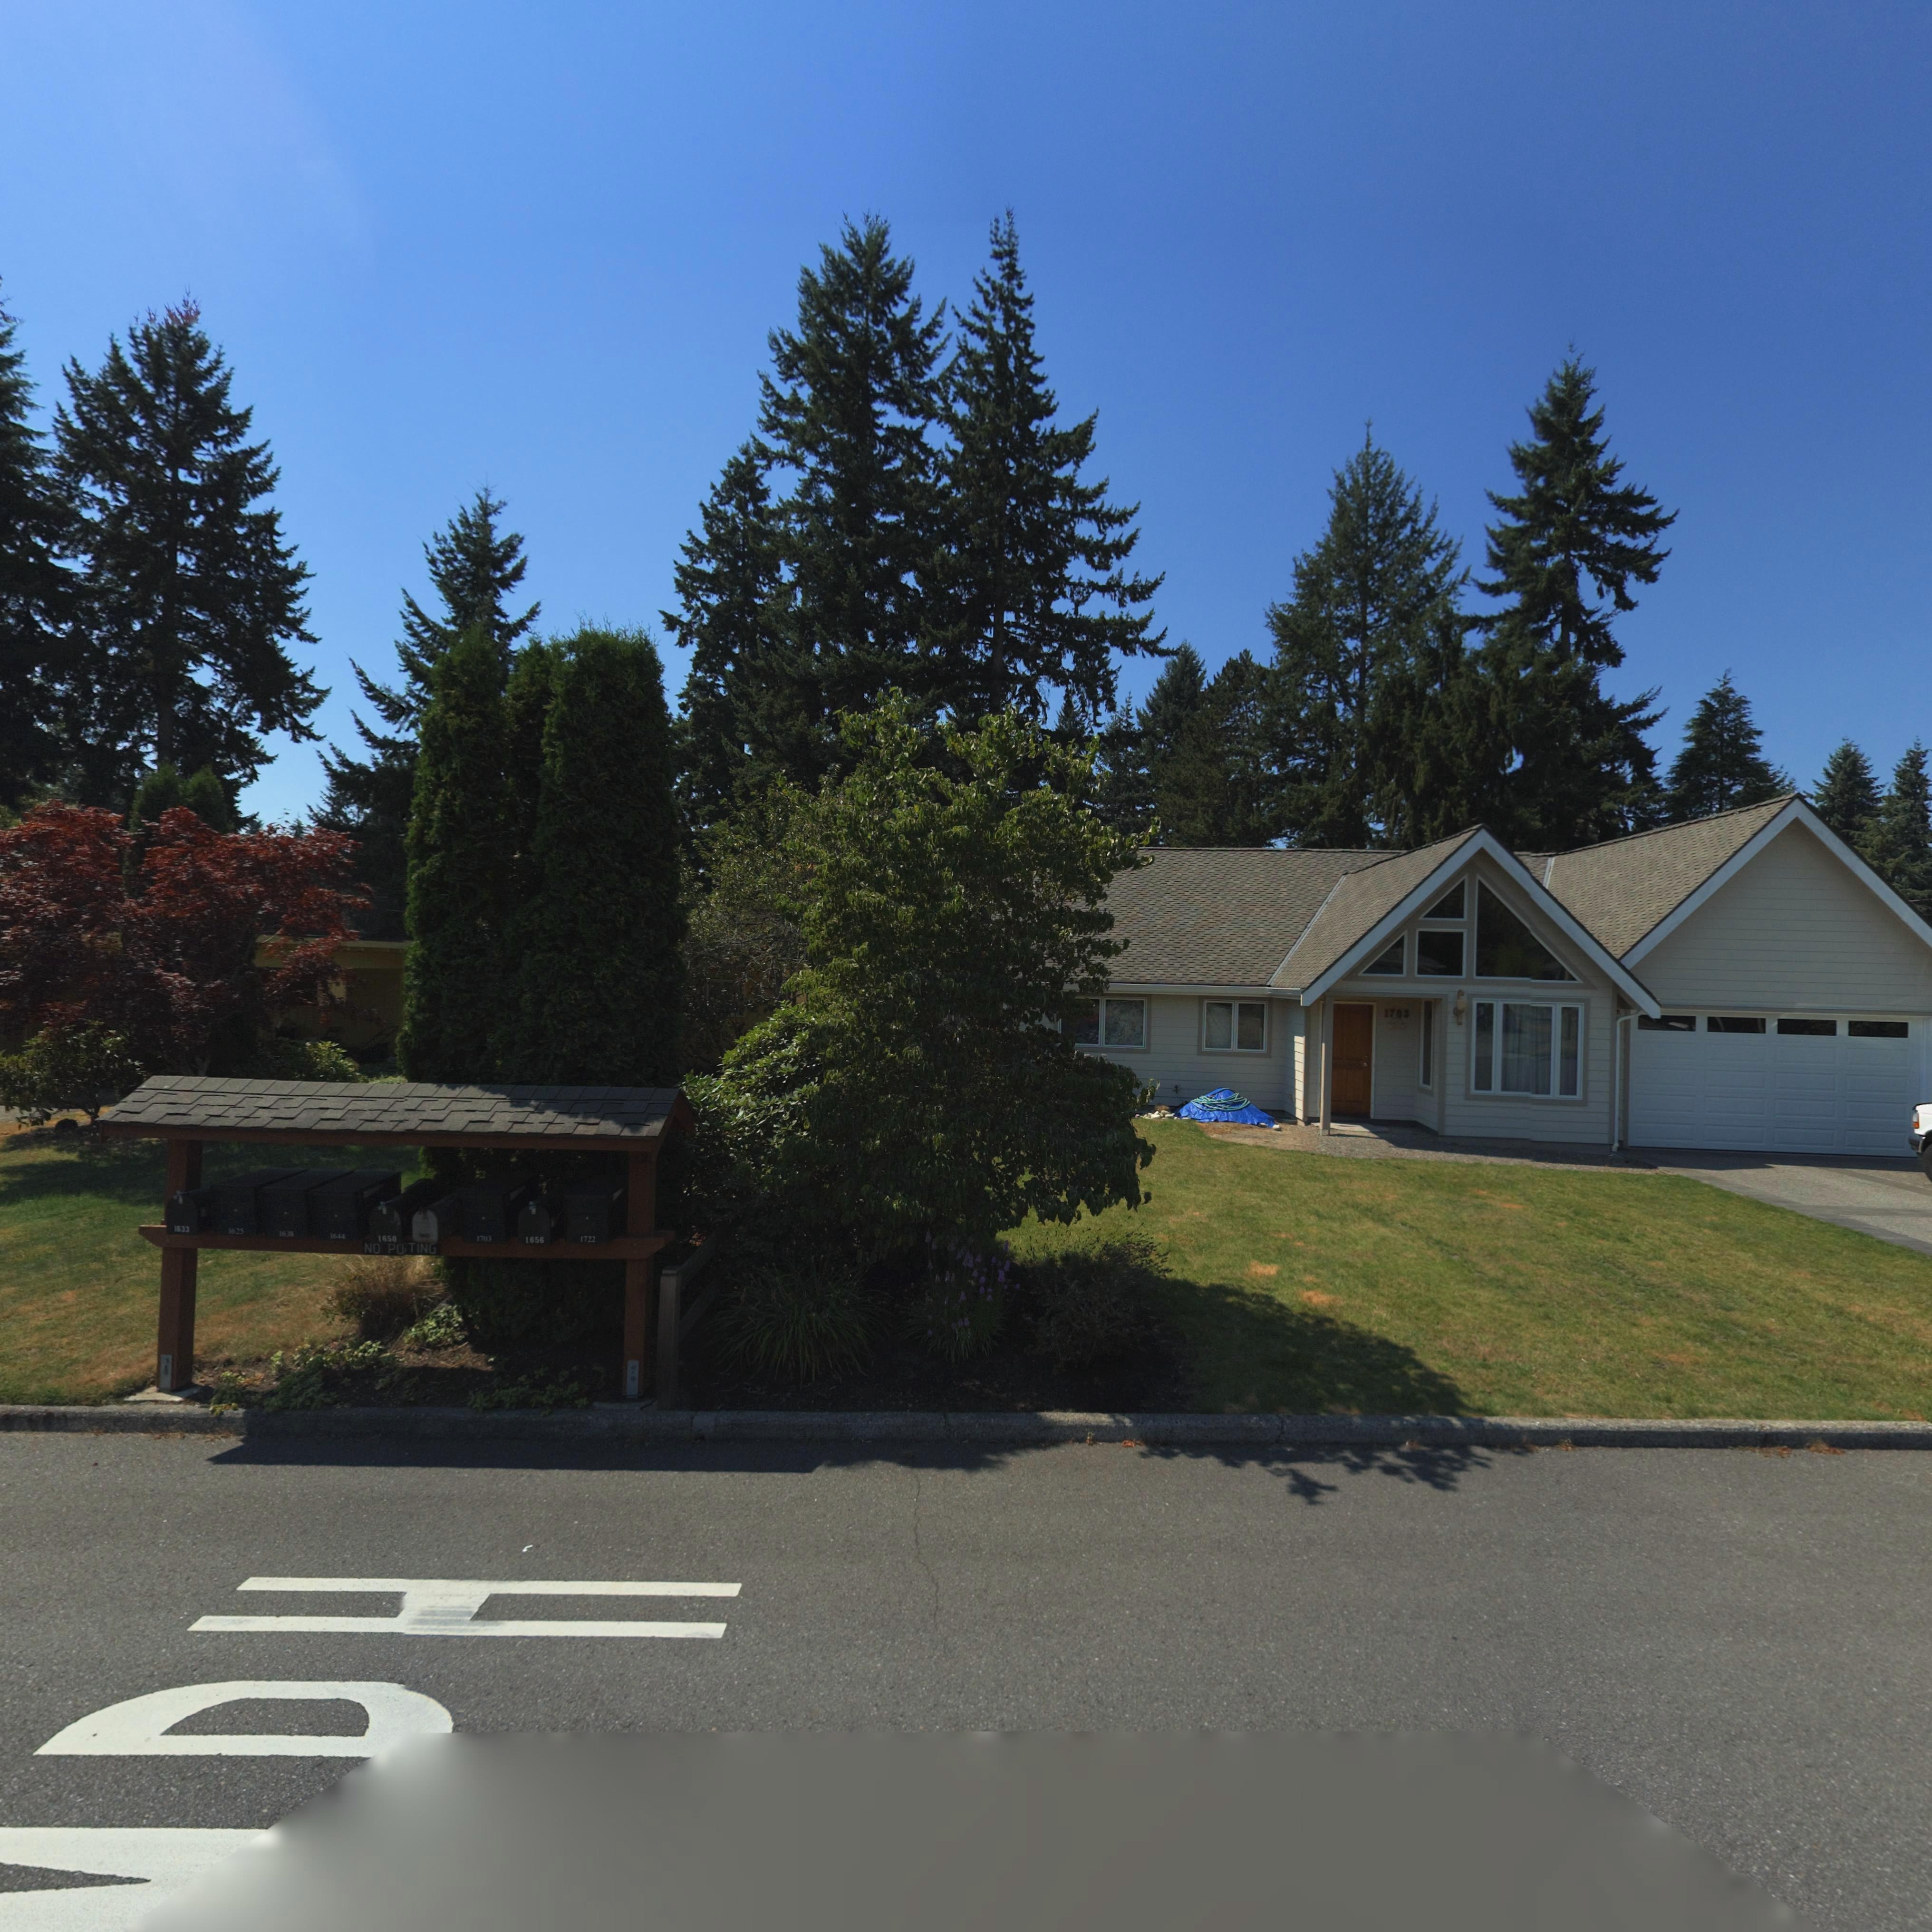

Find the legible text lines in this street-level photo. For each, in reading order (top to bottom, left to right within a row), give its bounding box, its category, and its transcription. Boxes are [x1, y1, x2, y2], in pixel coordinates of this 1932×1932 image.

[1383, 1006, 1409, 1020] StreetNumber: 1703
[173, 1225, 190, 1233] StreetNumber: 1633
[228, 1227, 244, 1235] StreetNumber: 1625
[278, 1230, 294, 1238] StreetNumber: 1638
[328, 1233, 347, 1240] StreetNumber: 1644
[377, 1234, 396, 1242] StreetNumber: 1650
[475, 1234, 493, 1243] StreetNumber: 1703
[525, 1236, 545, 1245] StreetNumber: 1656
[580, 1235, 596, 1243] StreetNumber: 1722